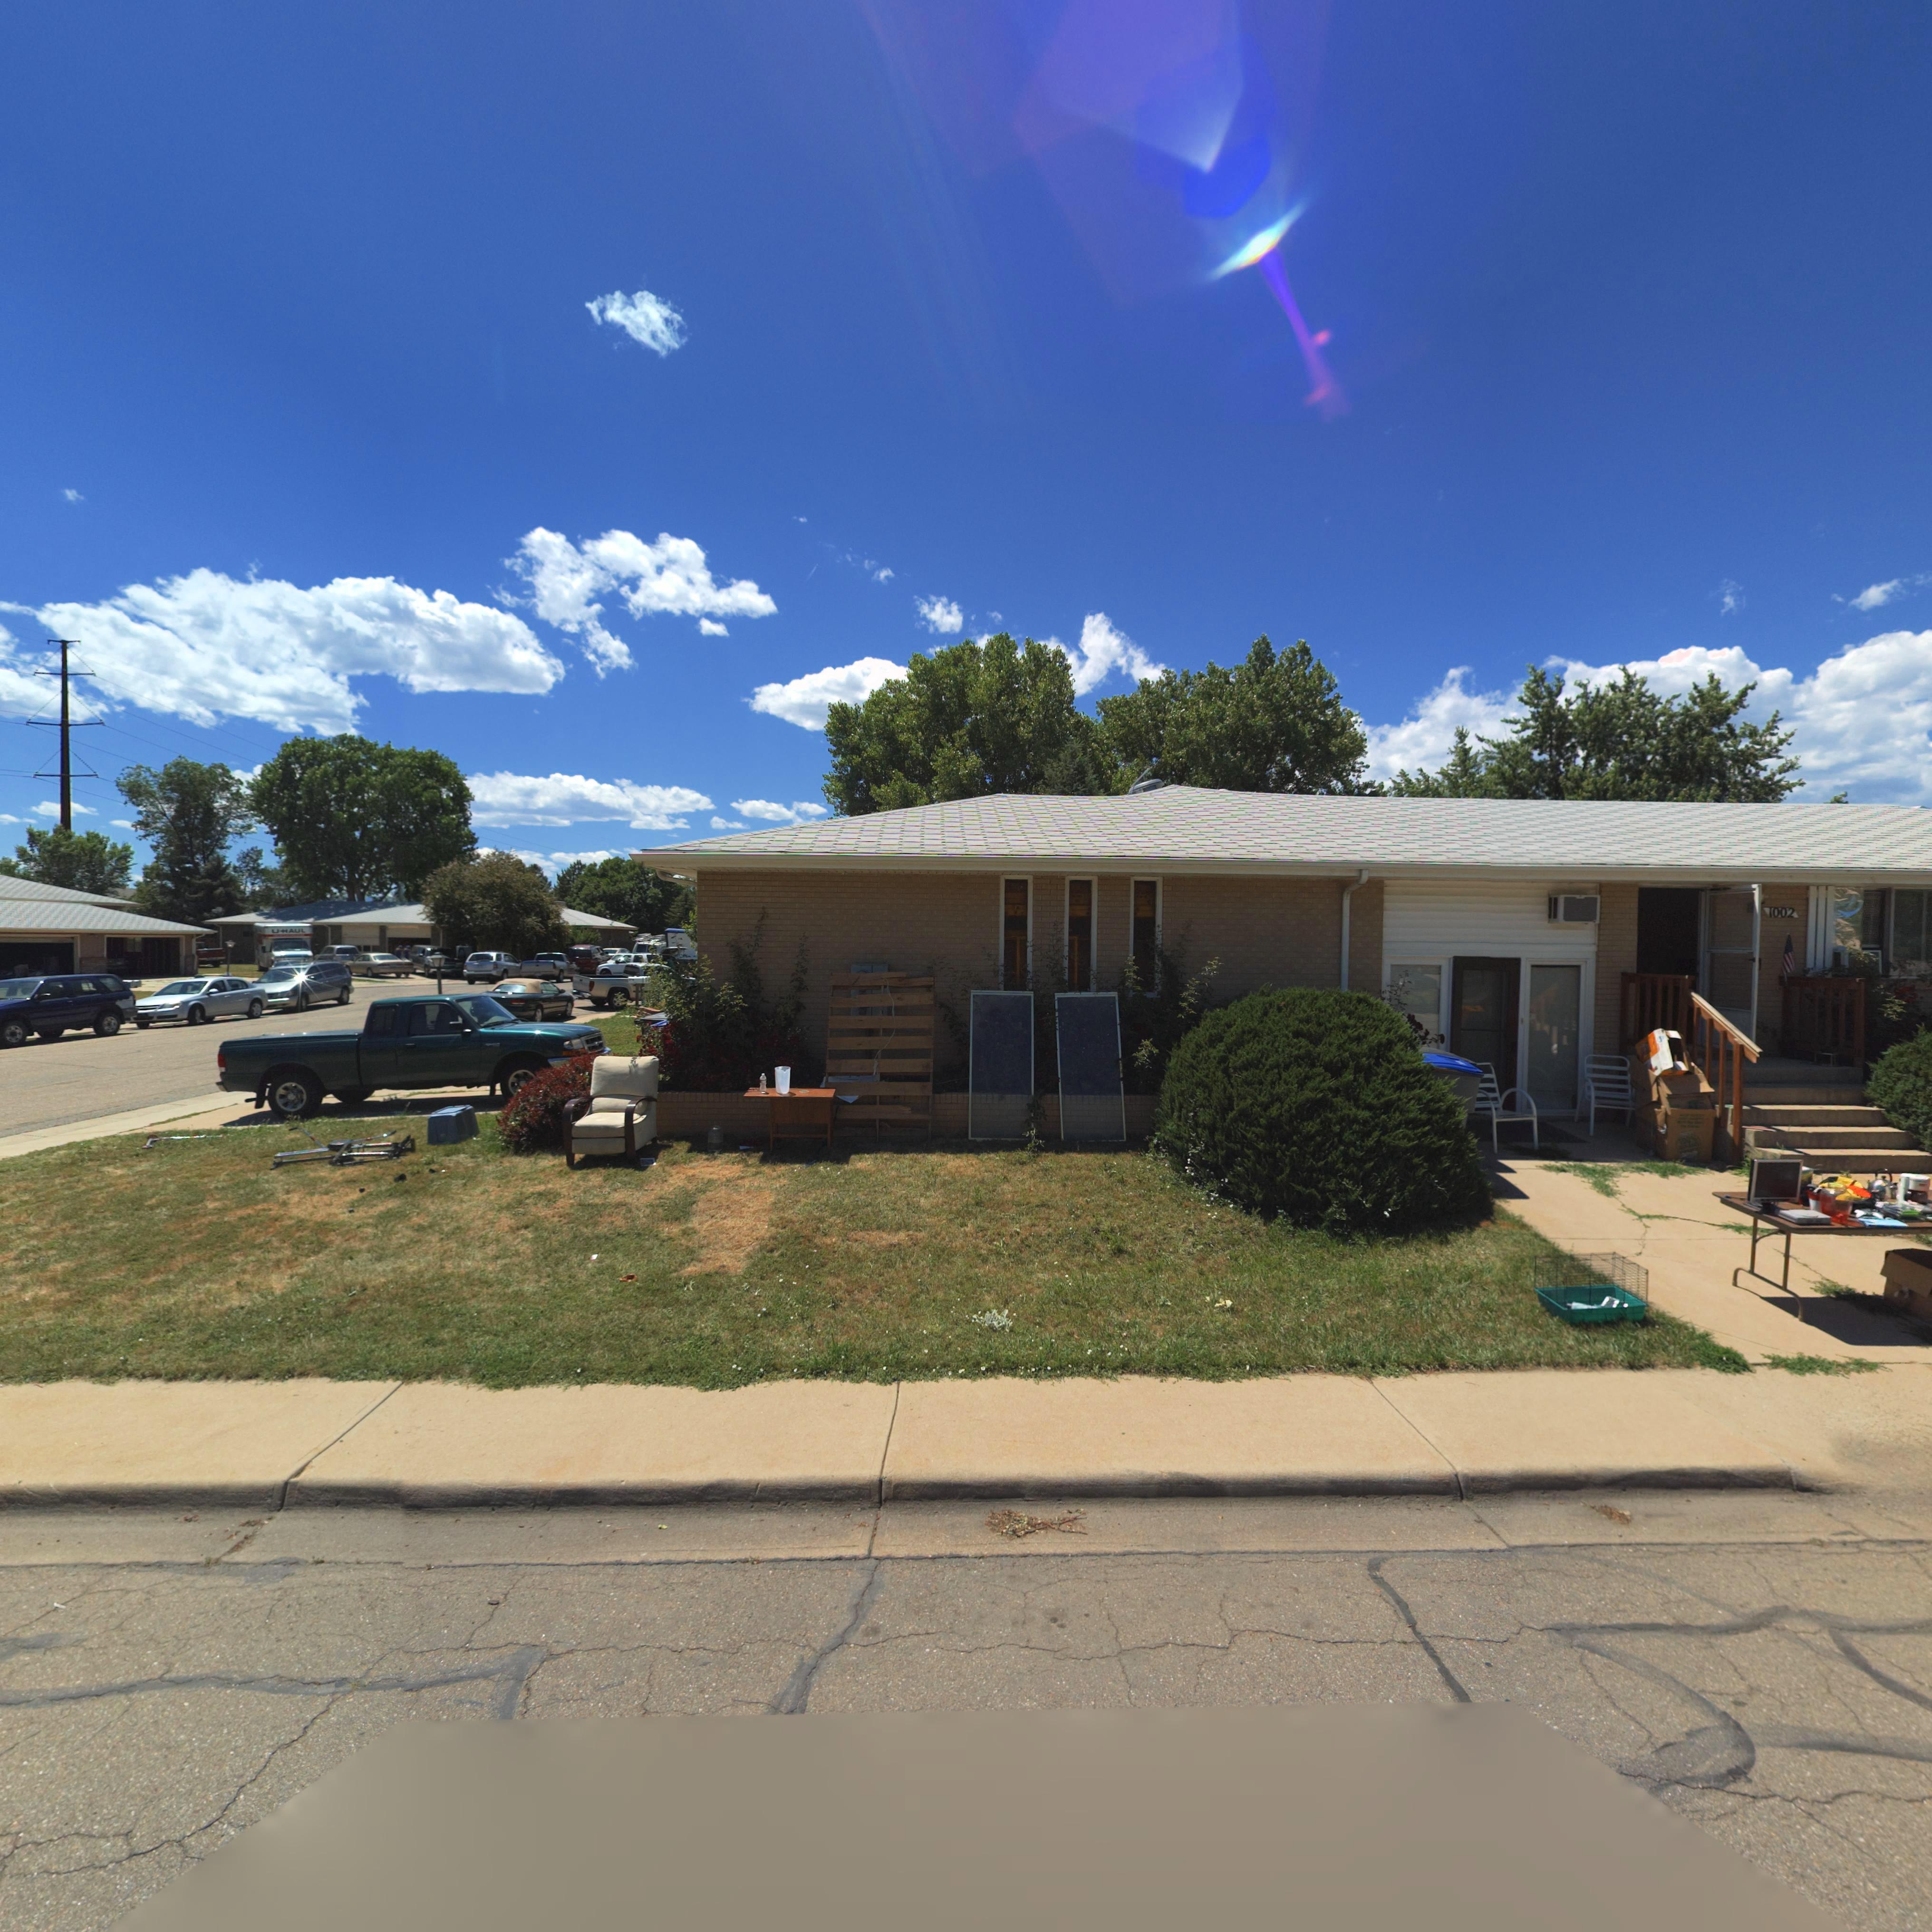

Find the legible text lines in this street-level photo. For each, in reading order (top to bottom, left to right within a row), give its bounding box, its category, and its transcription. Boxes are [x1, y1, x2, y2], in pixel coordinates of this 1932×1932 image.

[1769, 907, 1795, 918] StreetNumber: 1002